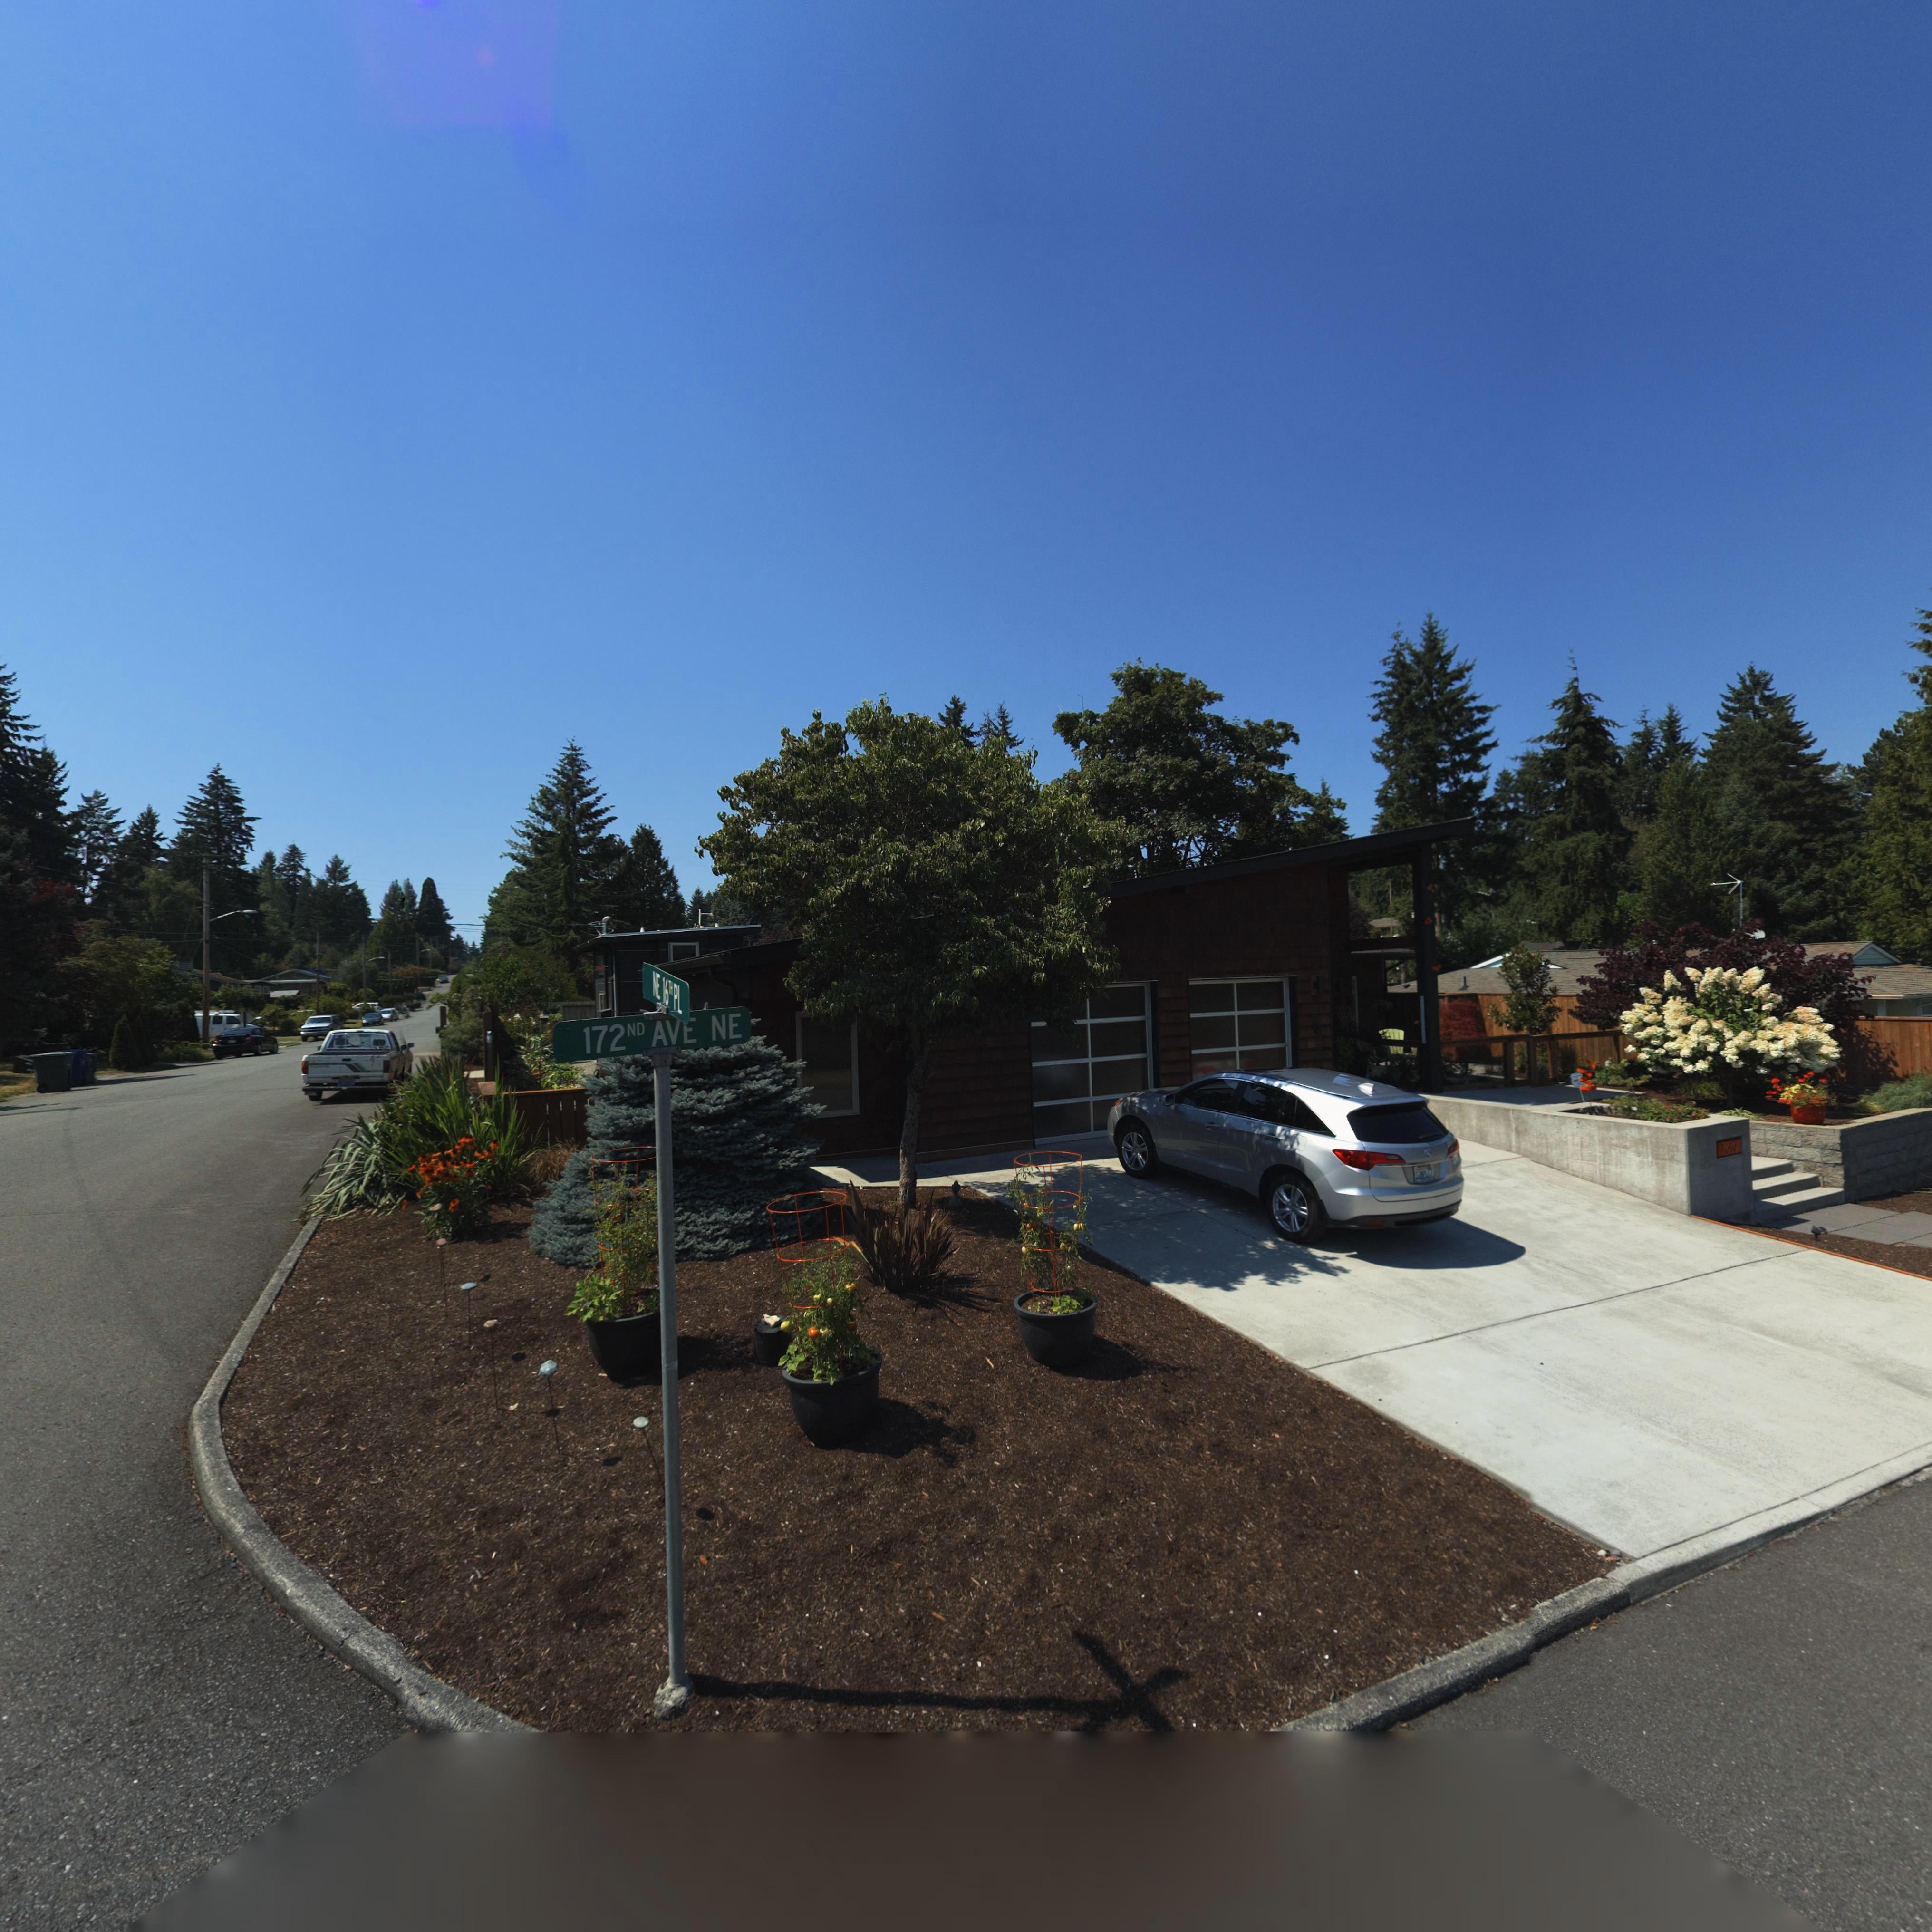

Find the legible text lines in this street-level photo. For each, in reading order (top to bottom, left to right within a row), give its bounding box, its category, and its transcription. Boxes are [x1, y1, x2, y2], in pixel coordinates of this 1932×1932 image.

[650, 967, 684, 1018] StreetName: NE 16th PL
[581, 1011, 743, 1057] StreetName: 172nd AVE NE